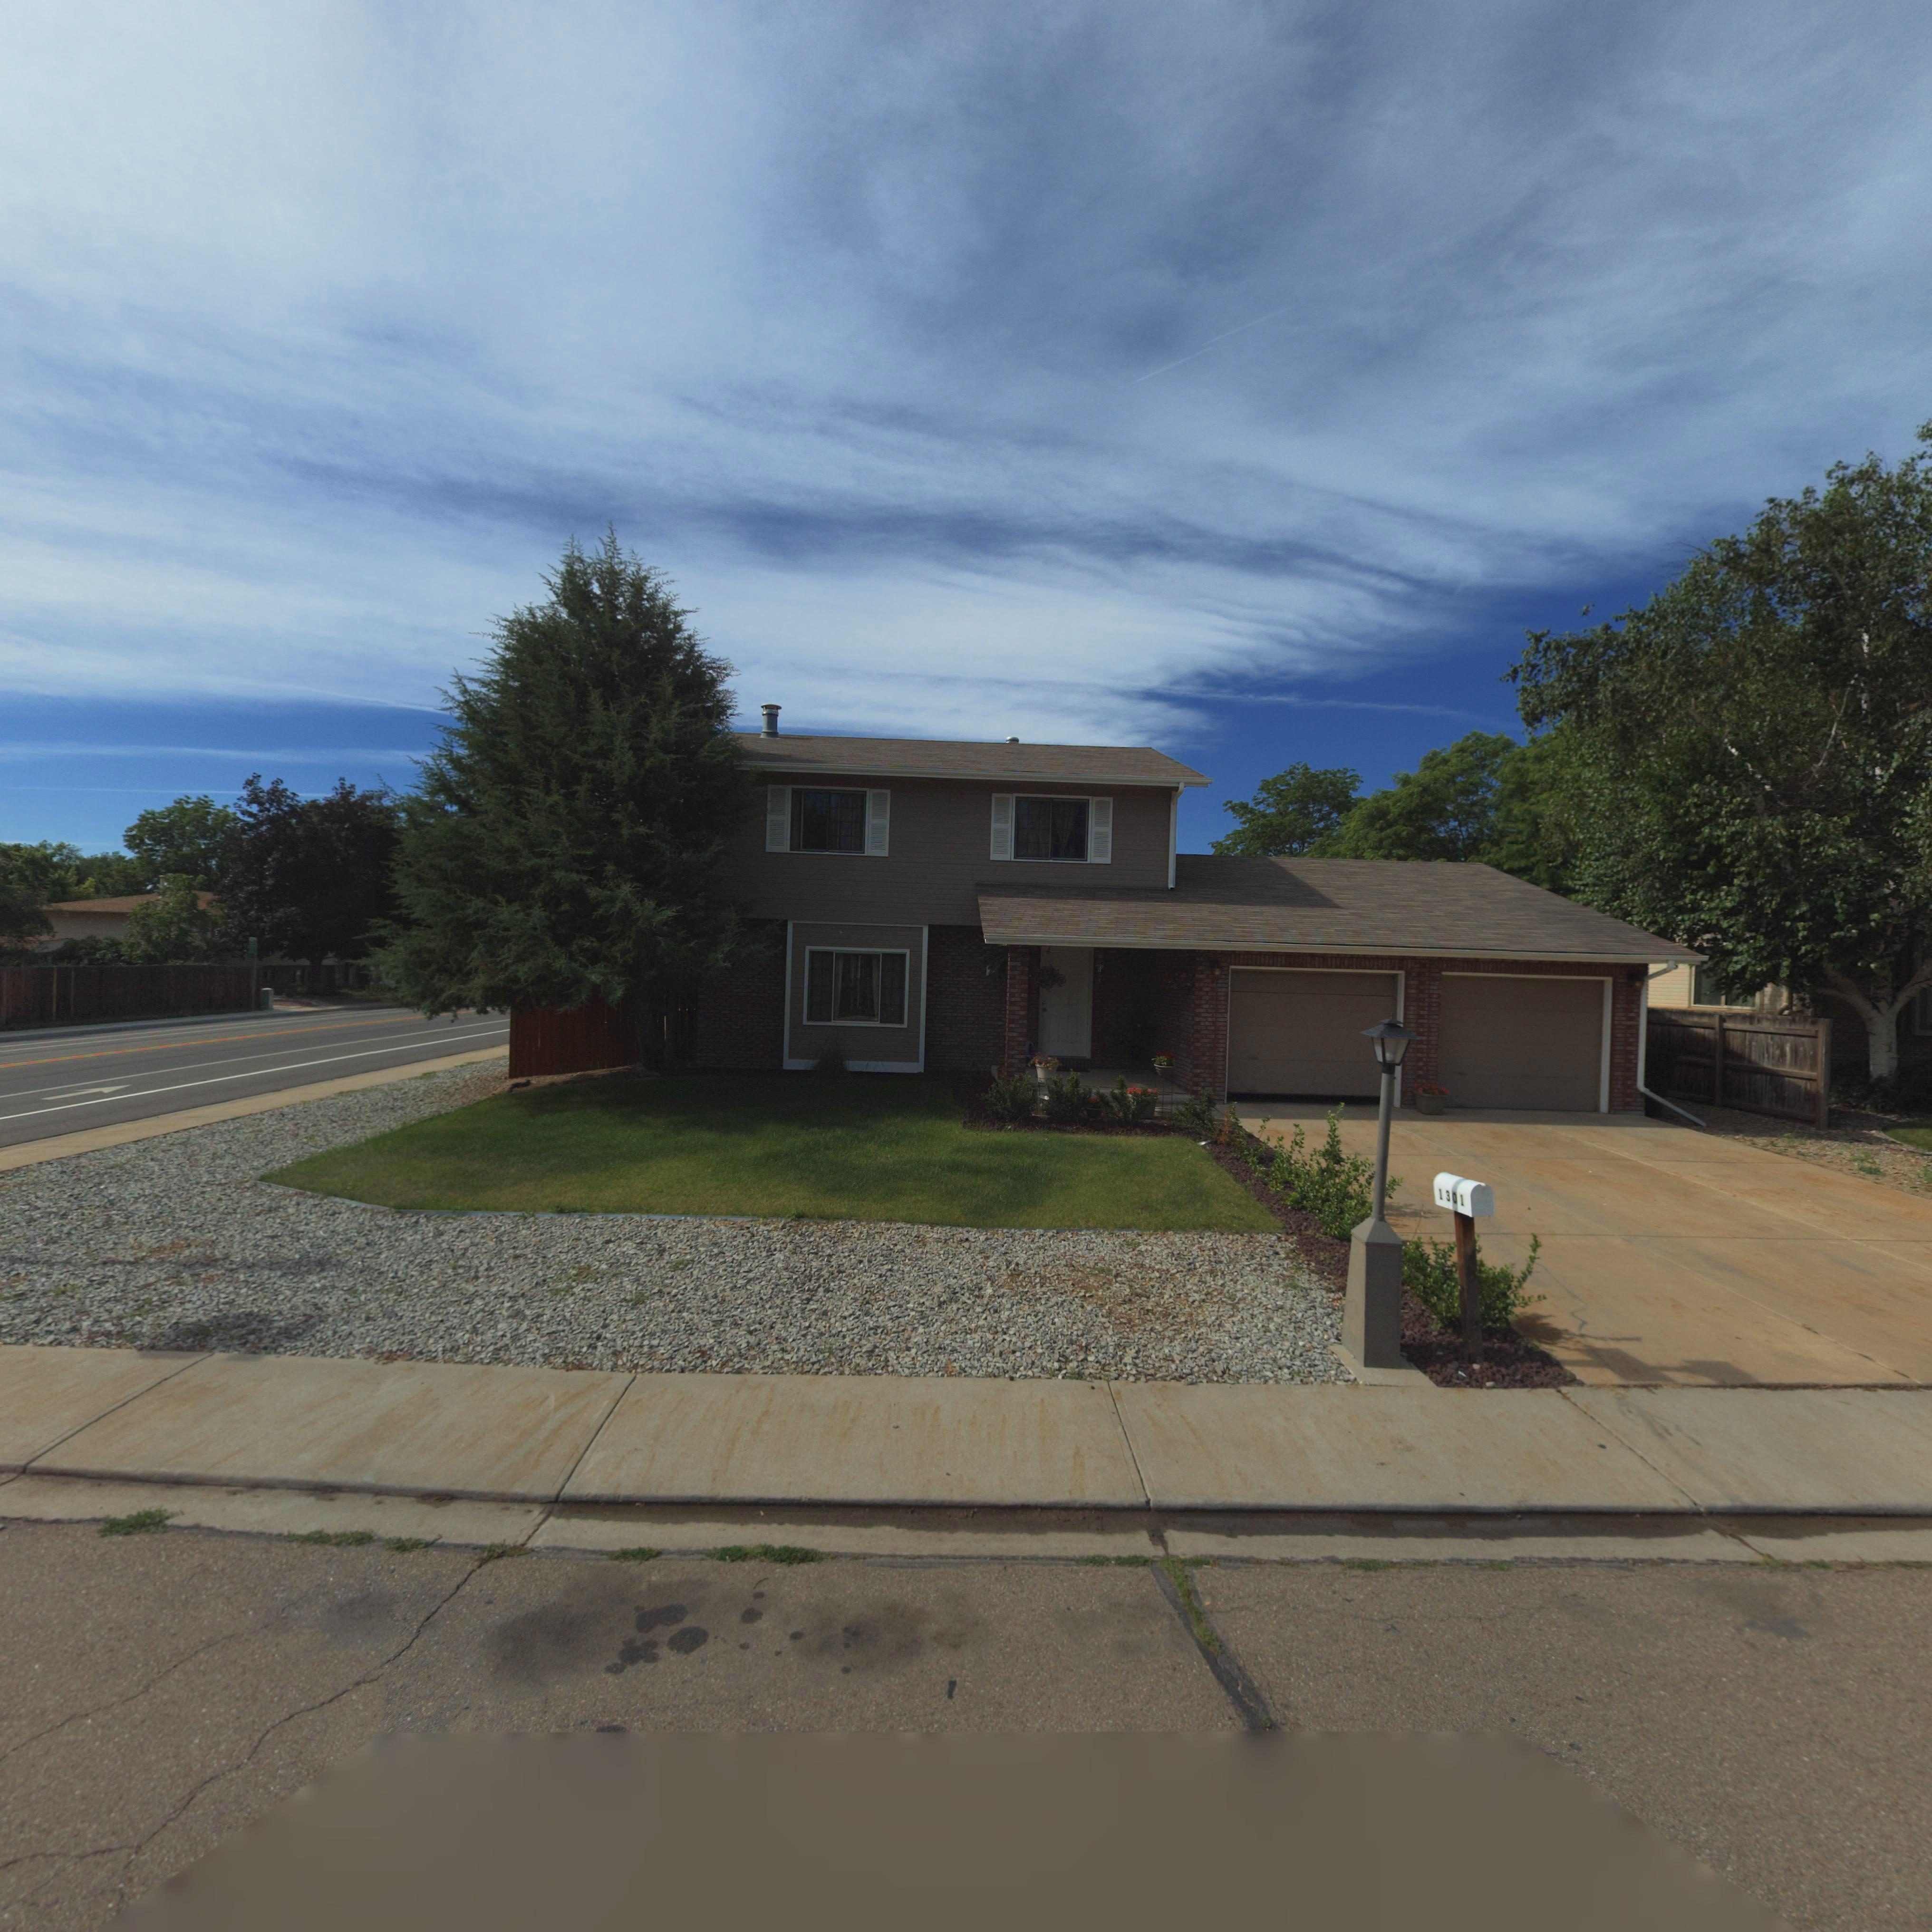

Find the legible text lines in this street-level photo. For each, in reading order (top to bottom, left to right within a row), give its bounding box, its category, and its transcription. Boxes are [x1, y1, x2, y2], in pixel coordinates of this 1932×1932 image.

[1438, 1188, 1464, 1207] StreetNumber: 1301